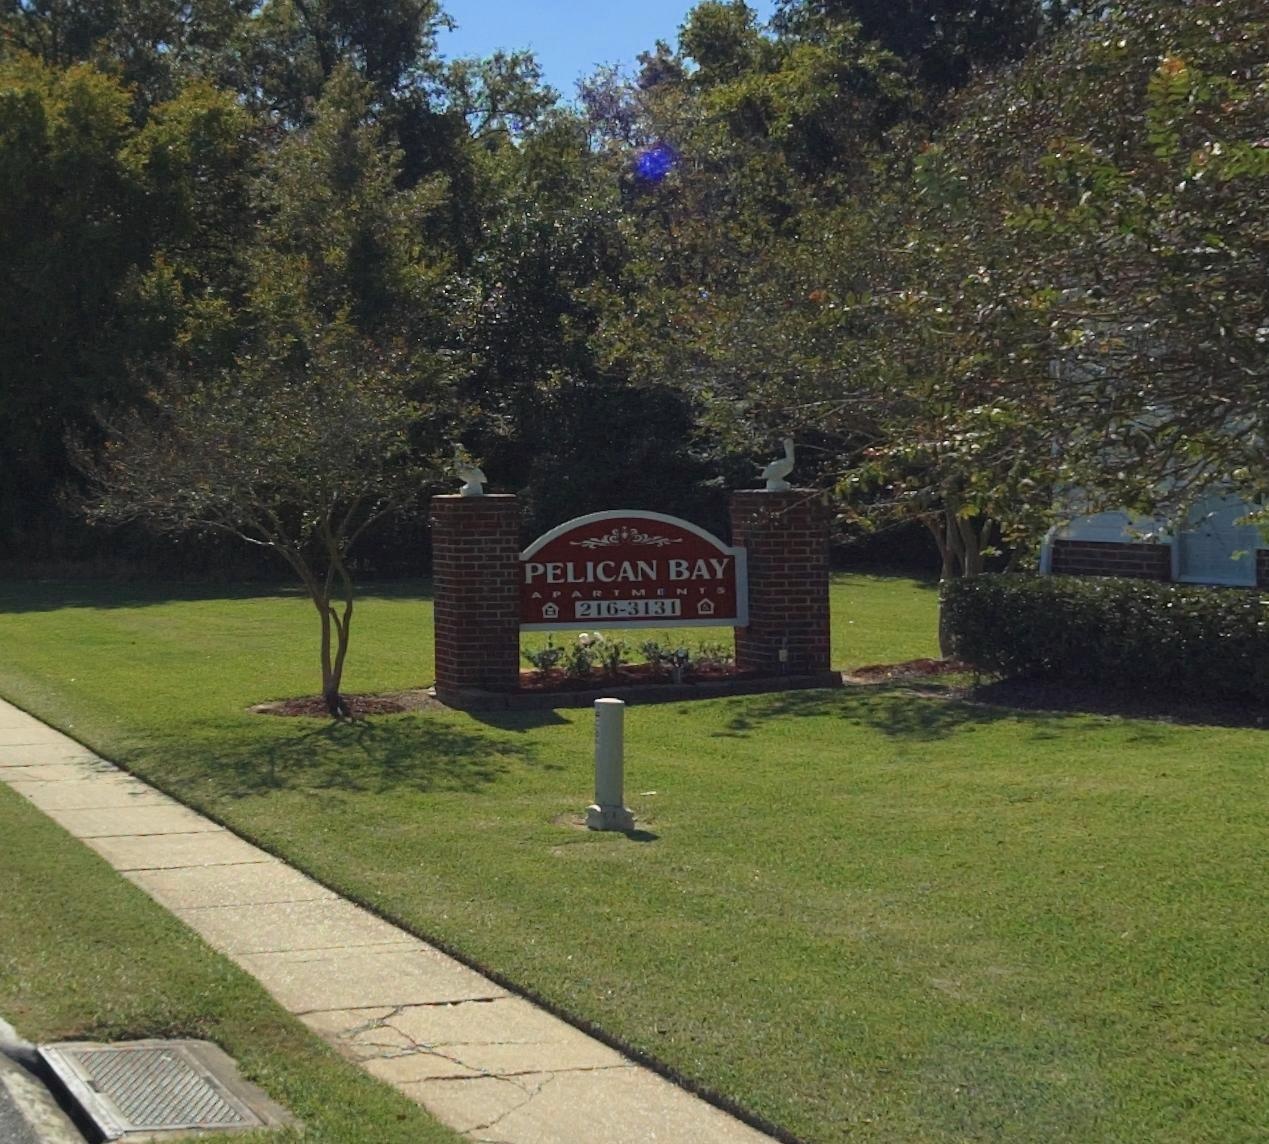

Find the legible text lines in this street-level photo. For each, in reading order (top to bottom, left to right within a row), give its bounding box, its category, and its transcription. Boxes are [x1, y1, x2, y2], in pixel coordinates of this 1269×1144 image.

[522, 555, 734, 587] BusinessName: PELICAN BAY
[528, 584, 729, 601] BusinessName: APARTMENTS
[577, 598, 679, 618] None: 216-3131